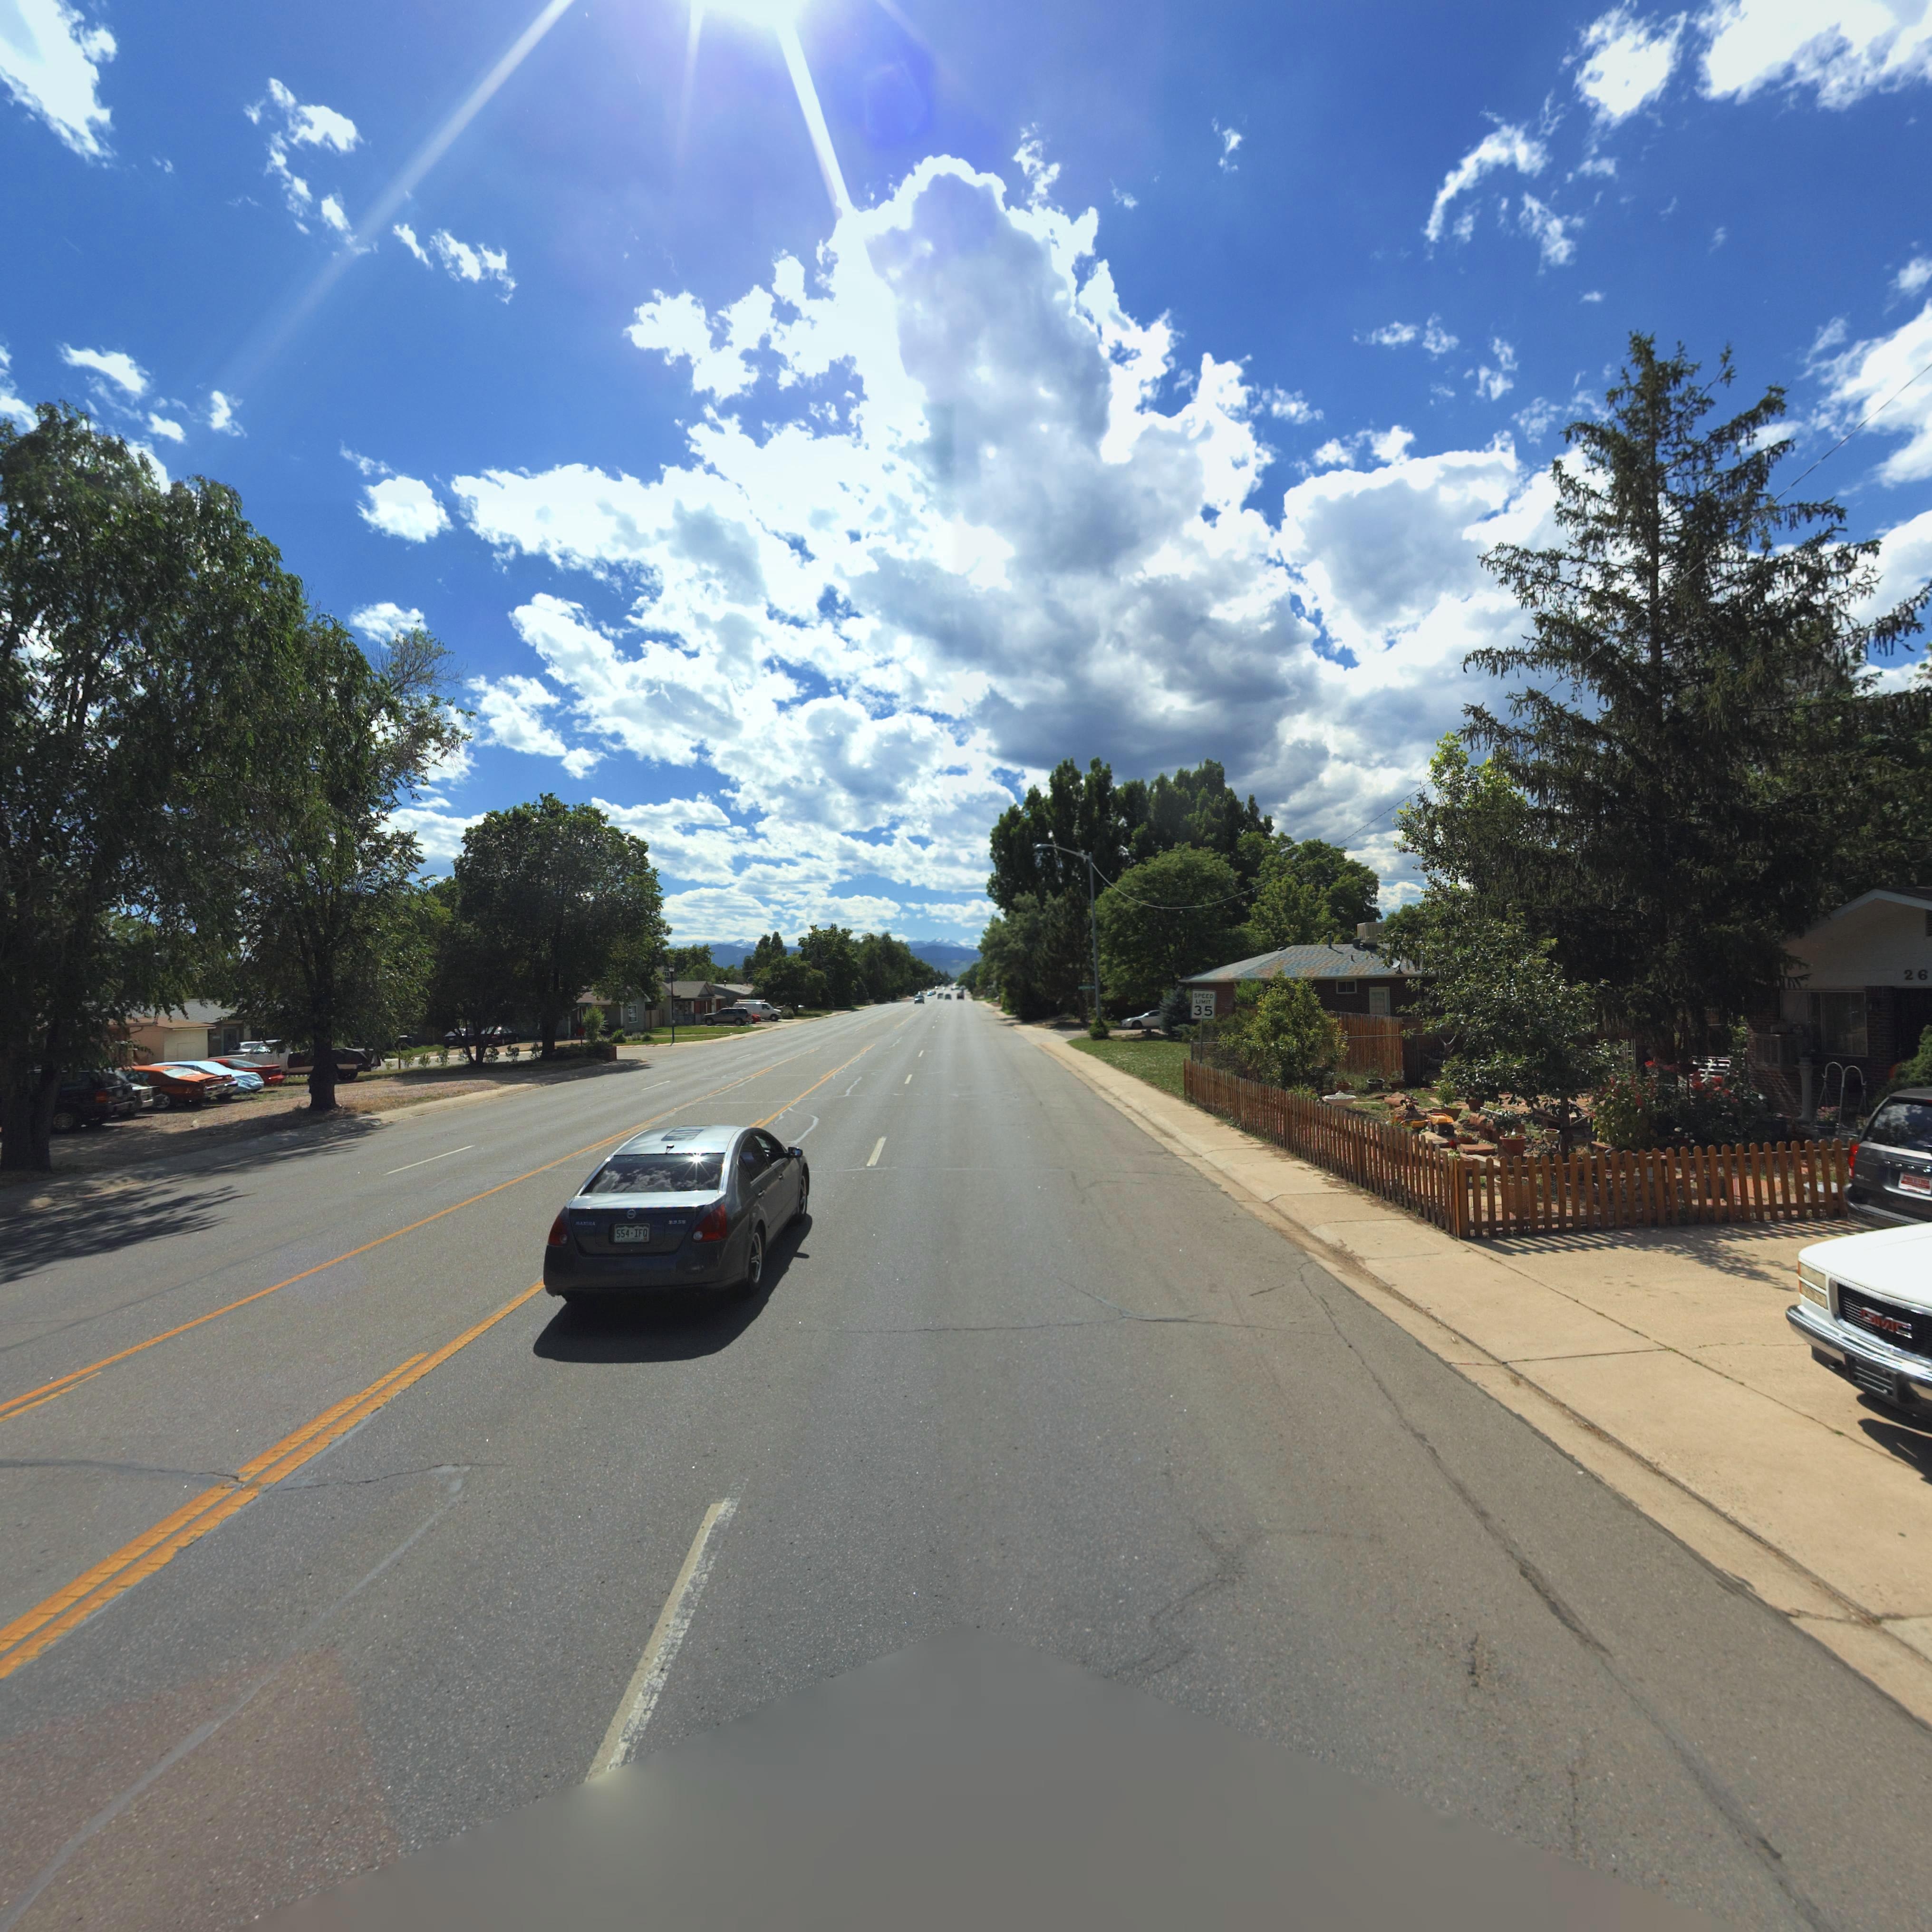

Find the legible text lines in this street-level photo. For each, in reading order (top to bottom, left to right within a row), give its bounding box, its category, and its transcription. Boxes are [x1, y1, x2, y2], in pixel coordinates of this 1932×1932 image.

[1903, 969, 1928, 980] StreetNumber: 26